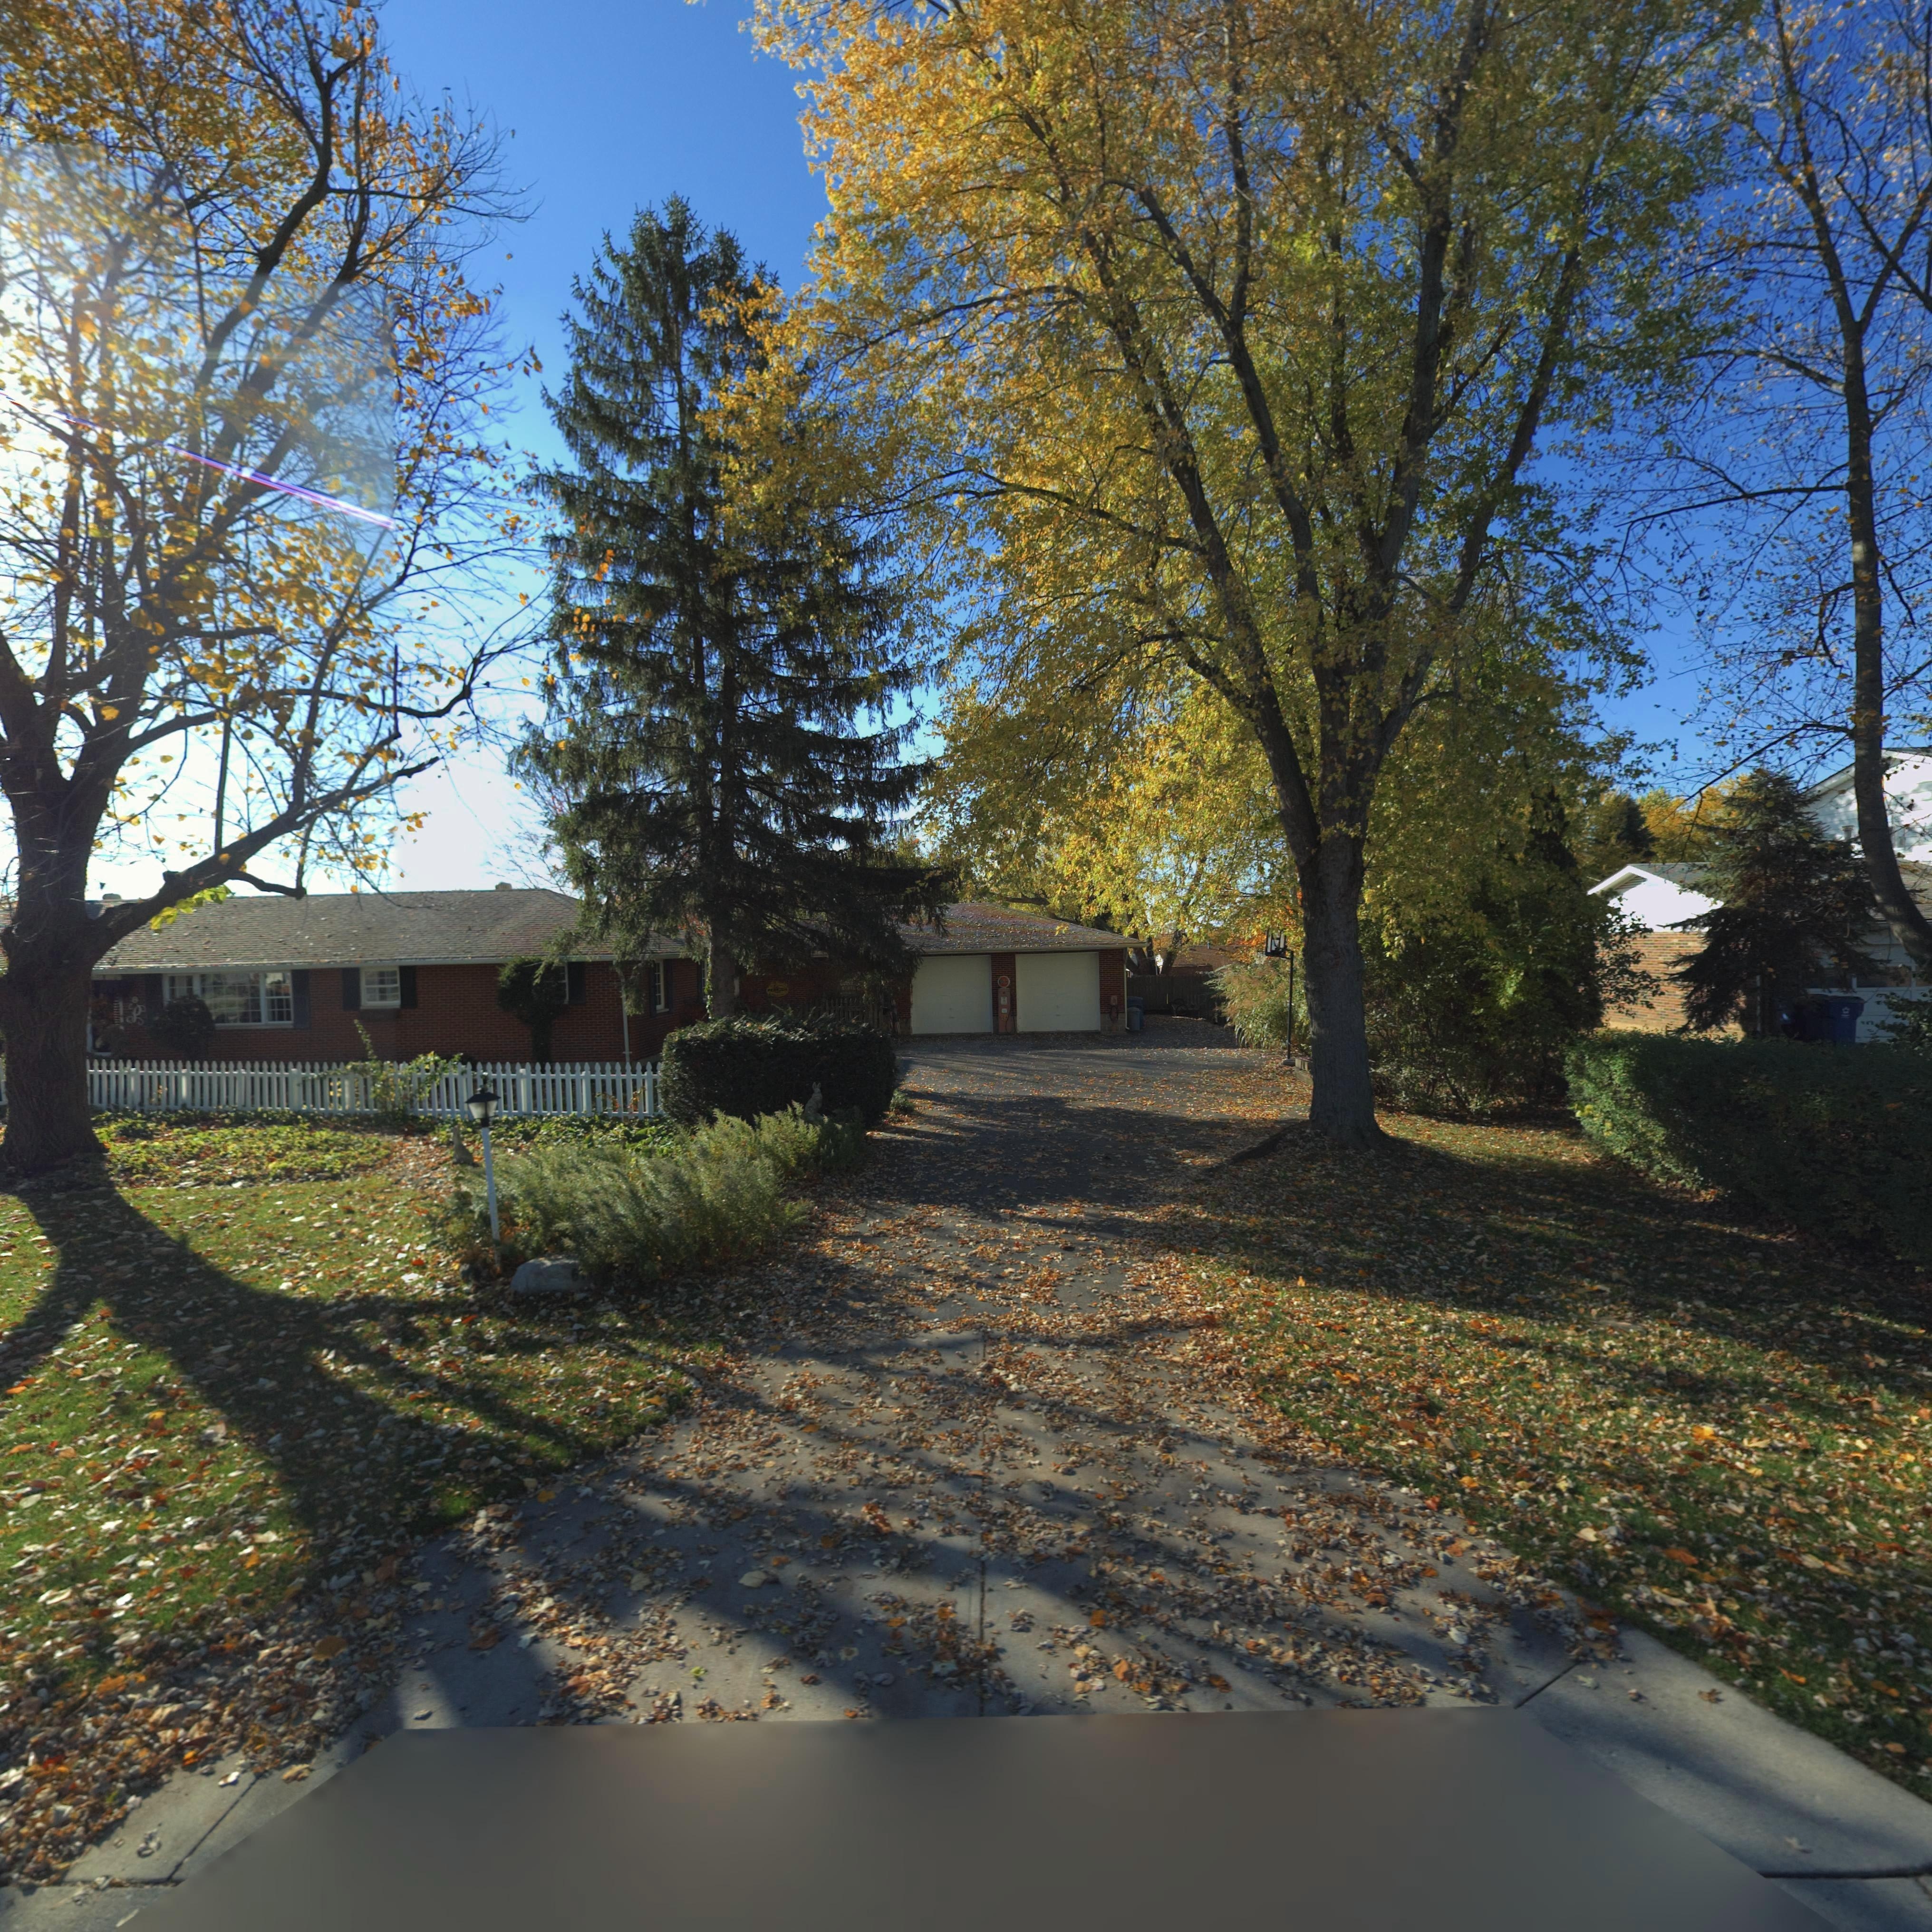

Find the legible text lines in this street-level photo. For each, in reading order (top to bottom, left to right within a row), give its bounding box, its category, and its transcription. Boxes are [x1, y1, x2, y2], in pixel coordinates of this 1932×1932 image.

[571, 1267, 580, 1282] StreetNumber: 6